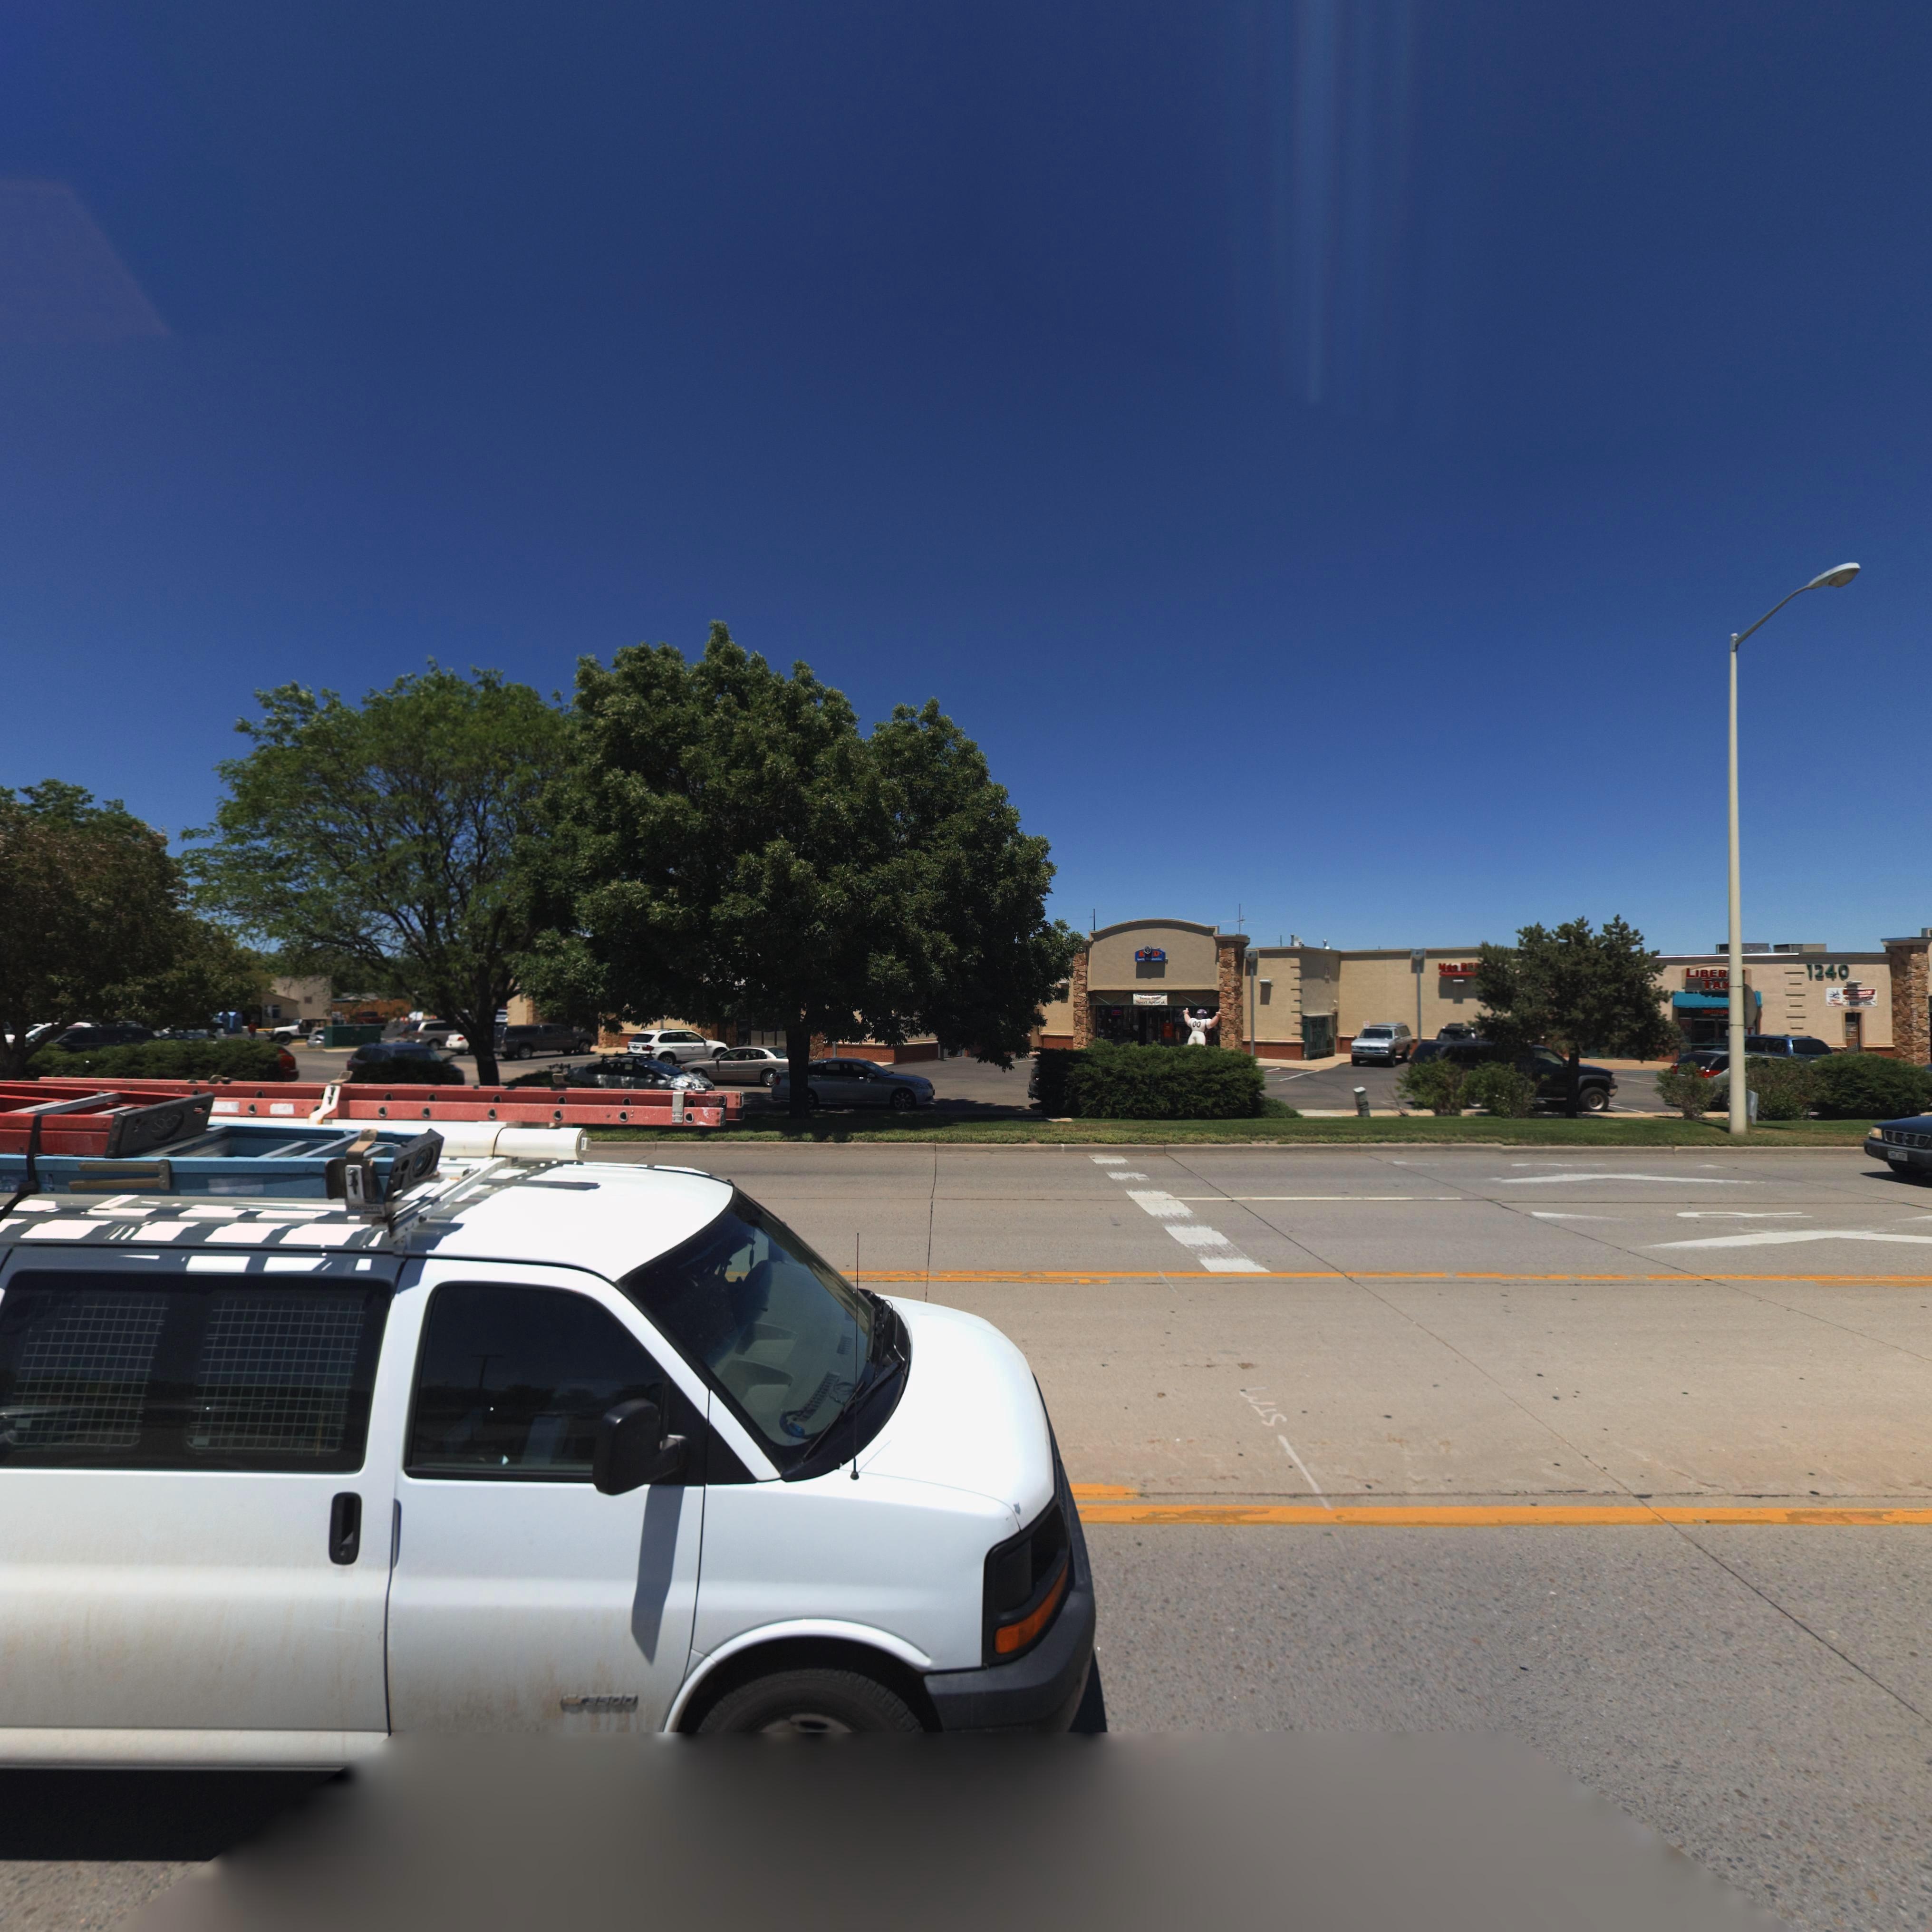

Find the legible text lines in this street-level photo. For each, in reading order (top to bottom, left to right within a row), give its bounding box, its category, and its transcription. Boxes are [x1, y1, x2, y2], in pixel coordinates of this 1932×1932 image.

[1138, 950, 1162, 957] BusinessName: R * D's
[1438, 962, 1480, 971] BusinessName: Ma* R**
[1685, 967, 1728, 979] BusinessName: LIBER
[1806, 963, 1848, 977] StreetNumber: 1240
[1701, 979, 1729, 990] BusinessName: TA*